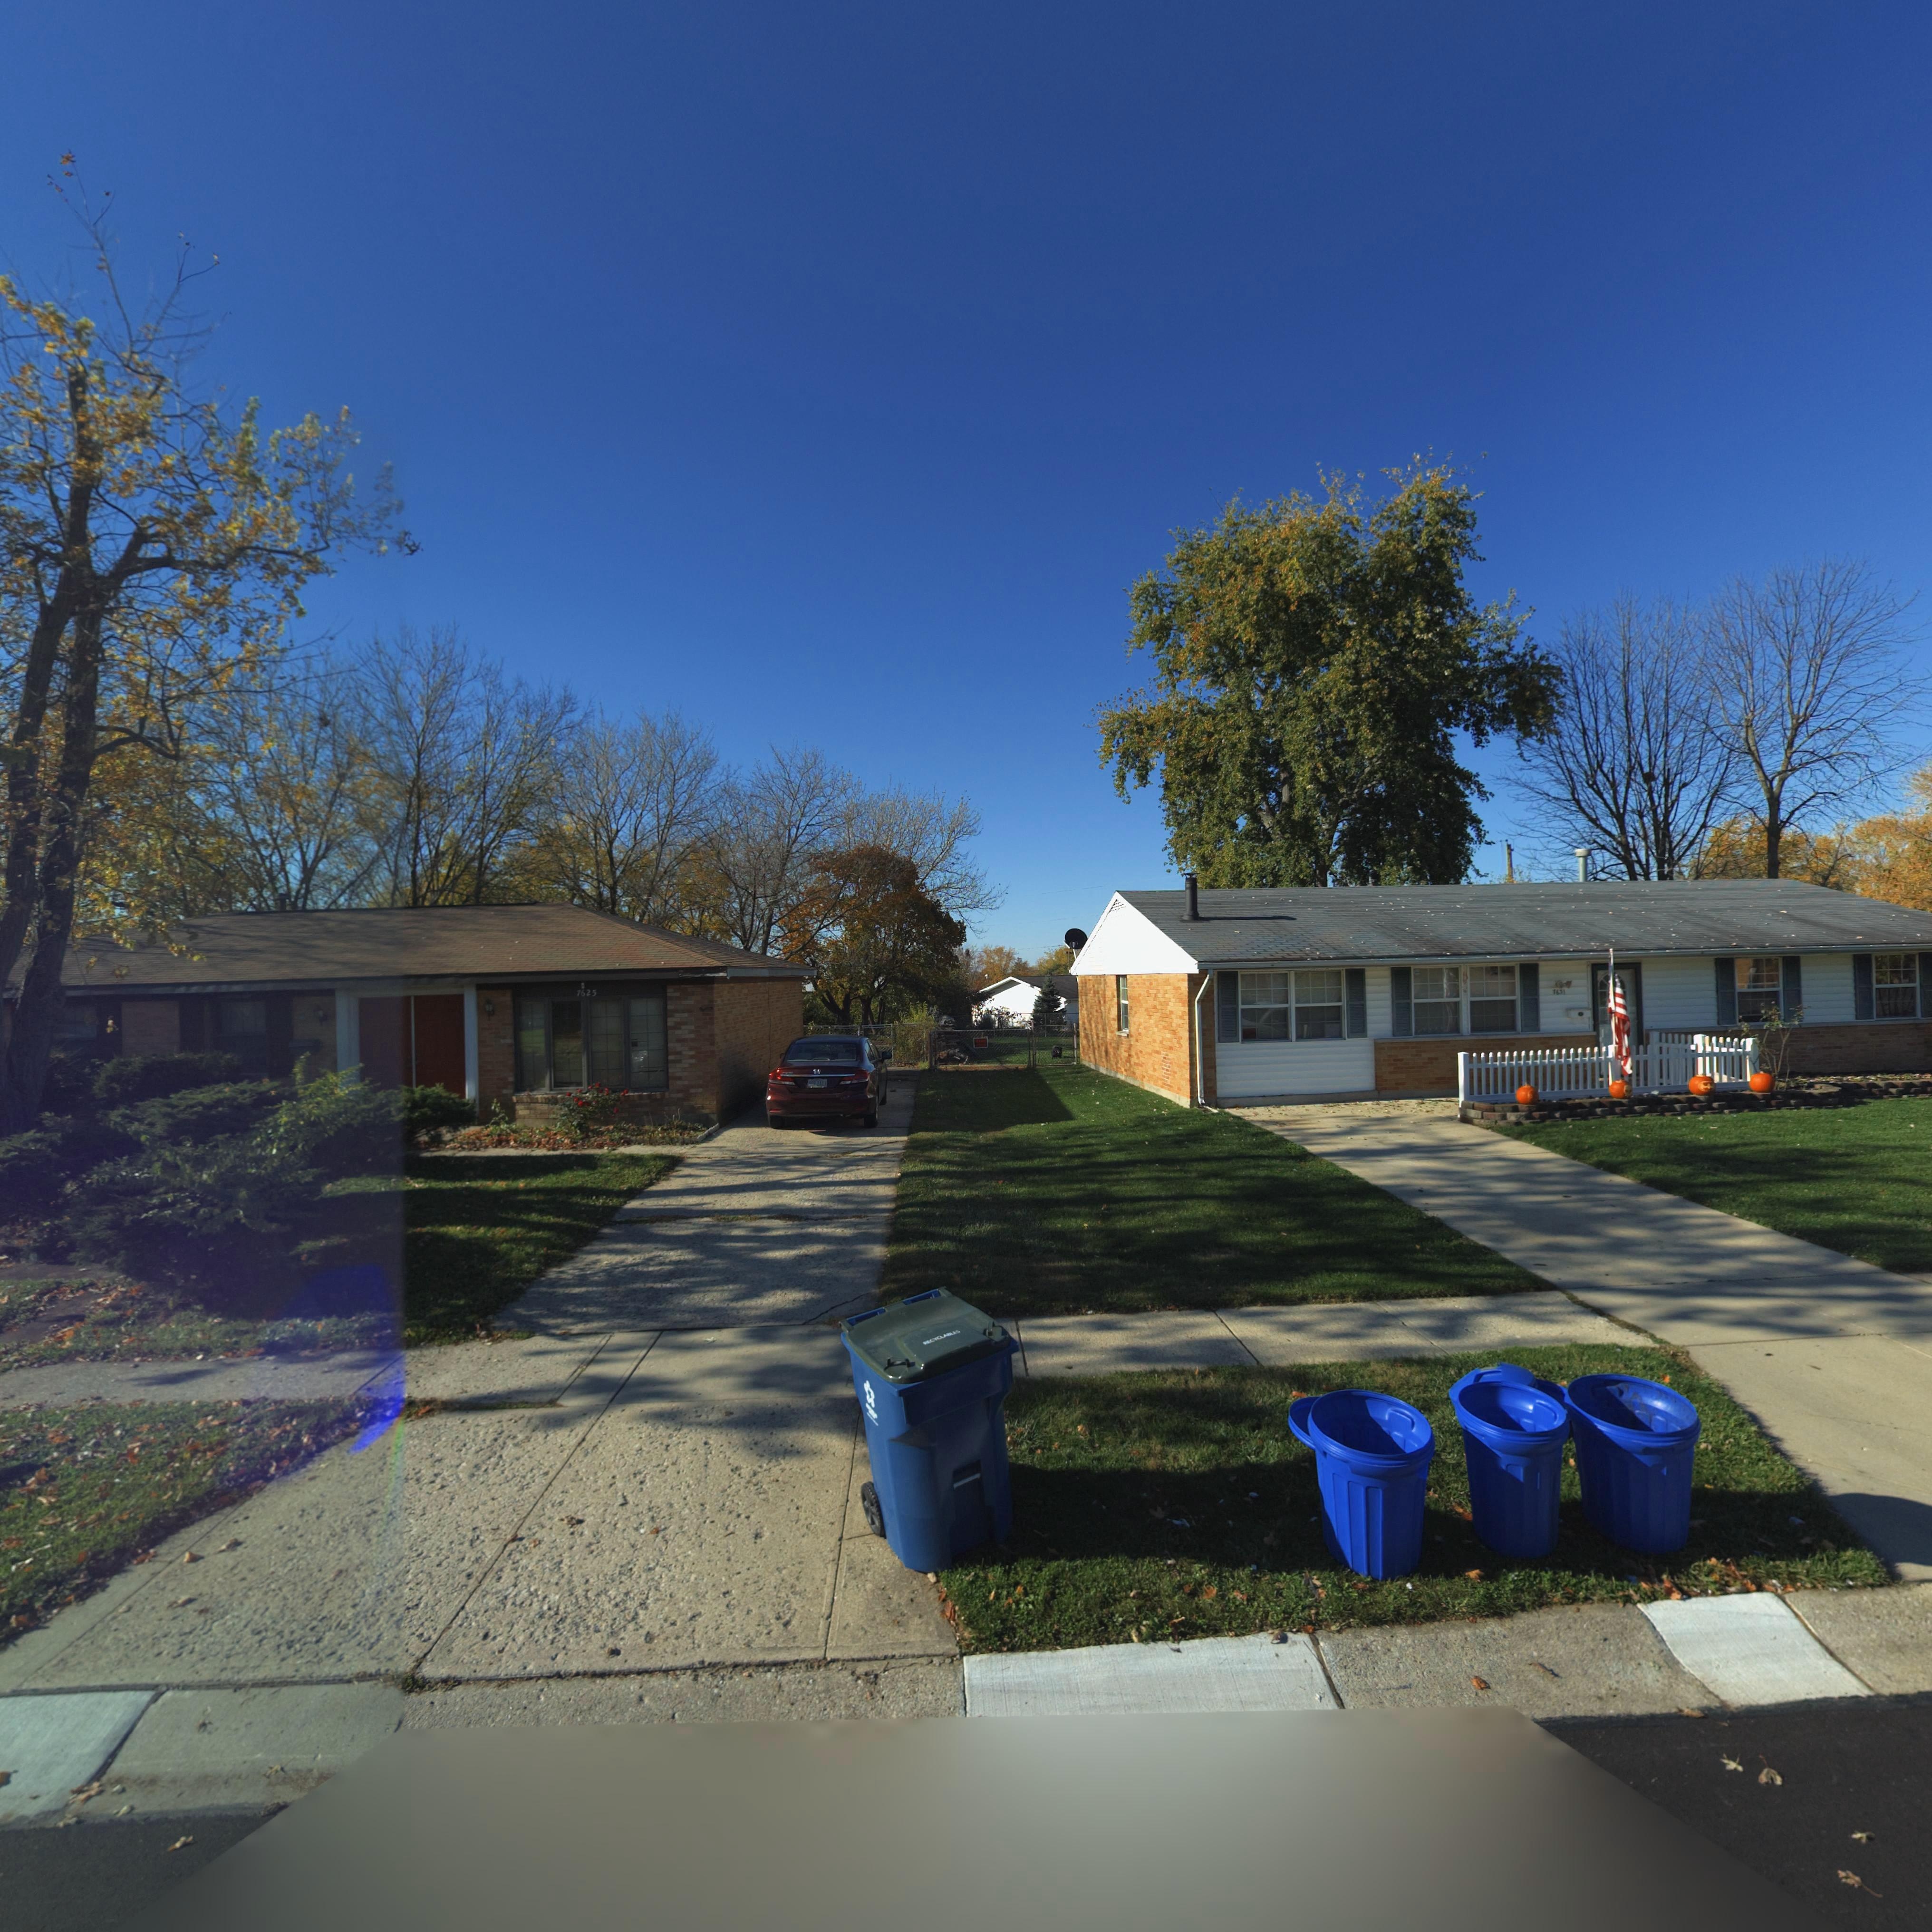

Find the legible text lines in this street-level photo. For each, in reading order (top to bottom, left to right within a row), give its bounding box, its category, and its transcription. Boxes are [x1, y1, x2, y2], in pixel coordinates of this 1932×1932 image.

[575, 988, 598, 998] StreetNumber: 7625
[1552, 988, 1566, 996] StreetNumber: 76*1